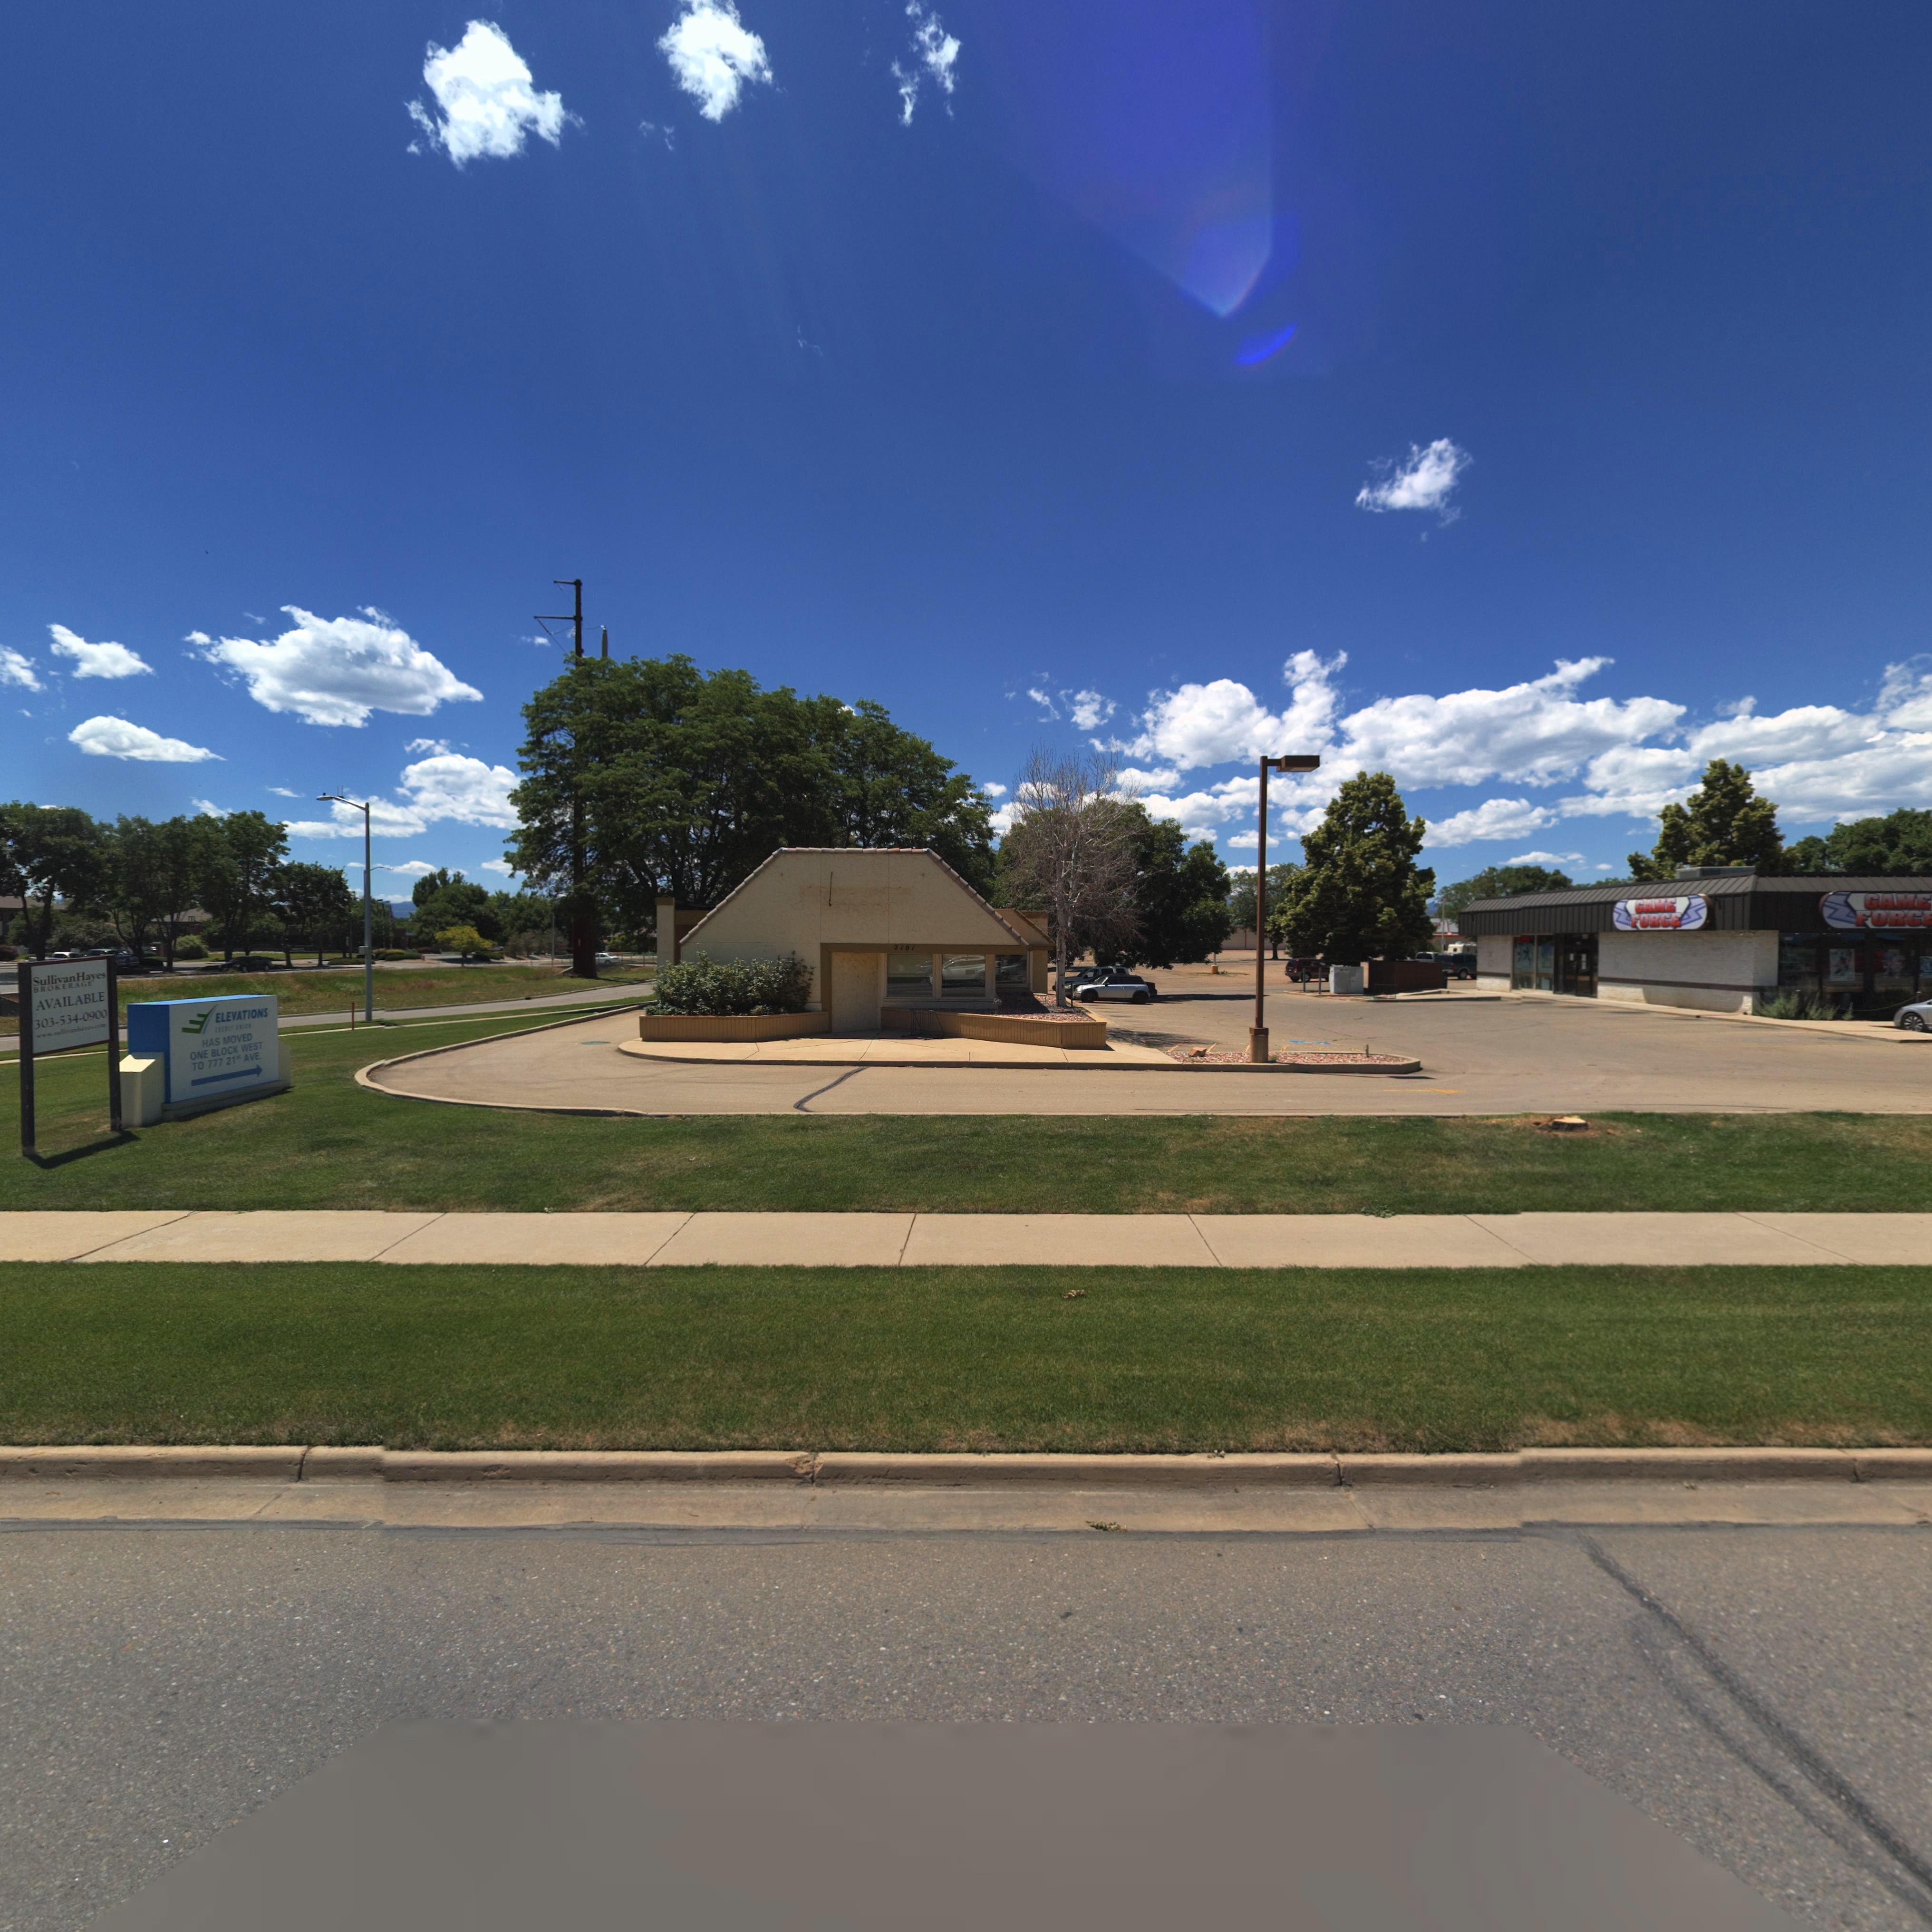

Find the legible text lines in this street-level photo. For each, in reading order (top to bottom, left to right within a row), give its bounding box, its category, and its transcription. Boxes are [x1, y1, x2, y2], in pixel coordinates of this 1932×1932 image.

[1634, 897, 1676, 913] BusinessName: GAME
[1864, 893, 1931, 909] BusinessName: GAME
[1630, 912, 1681, 927] BusinessName: FORCE
[1855, 909, 1922, 927] BusinessName: FORCE
[893, 944, 915, 951] StreetNumber: 2101